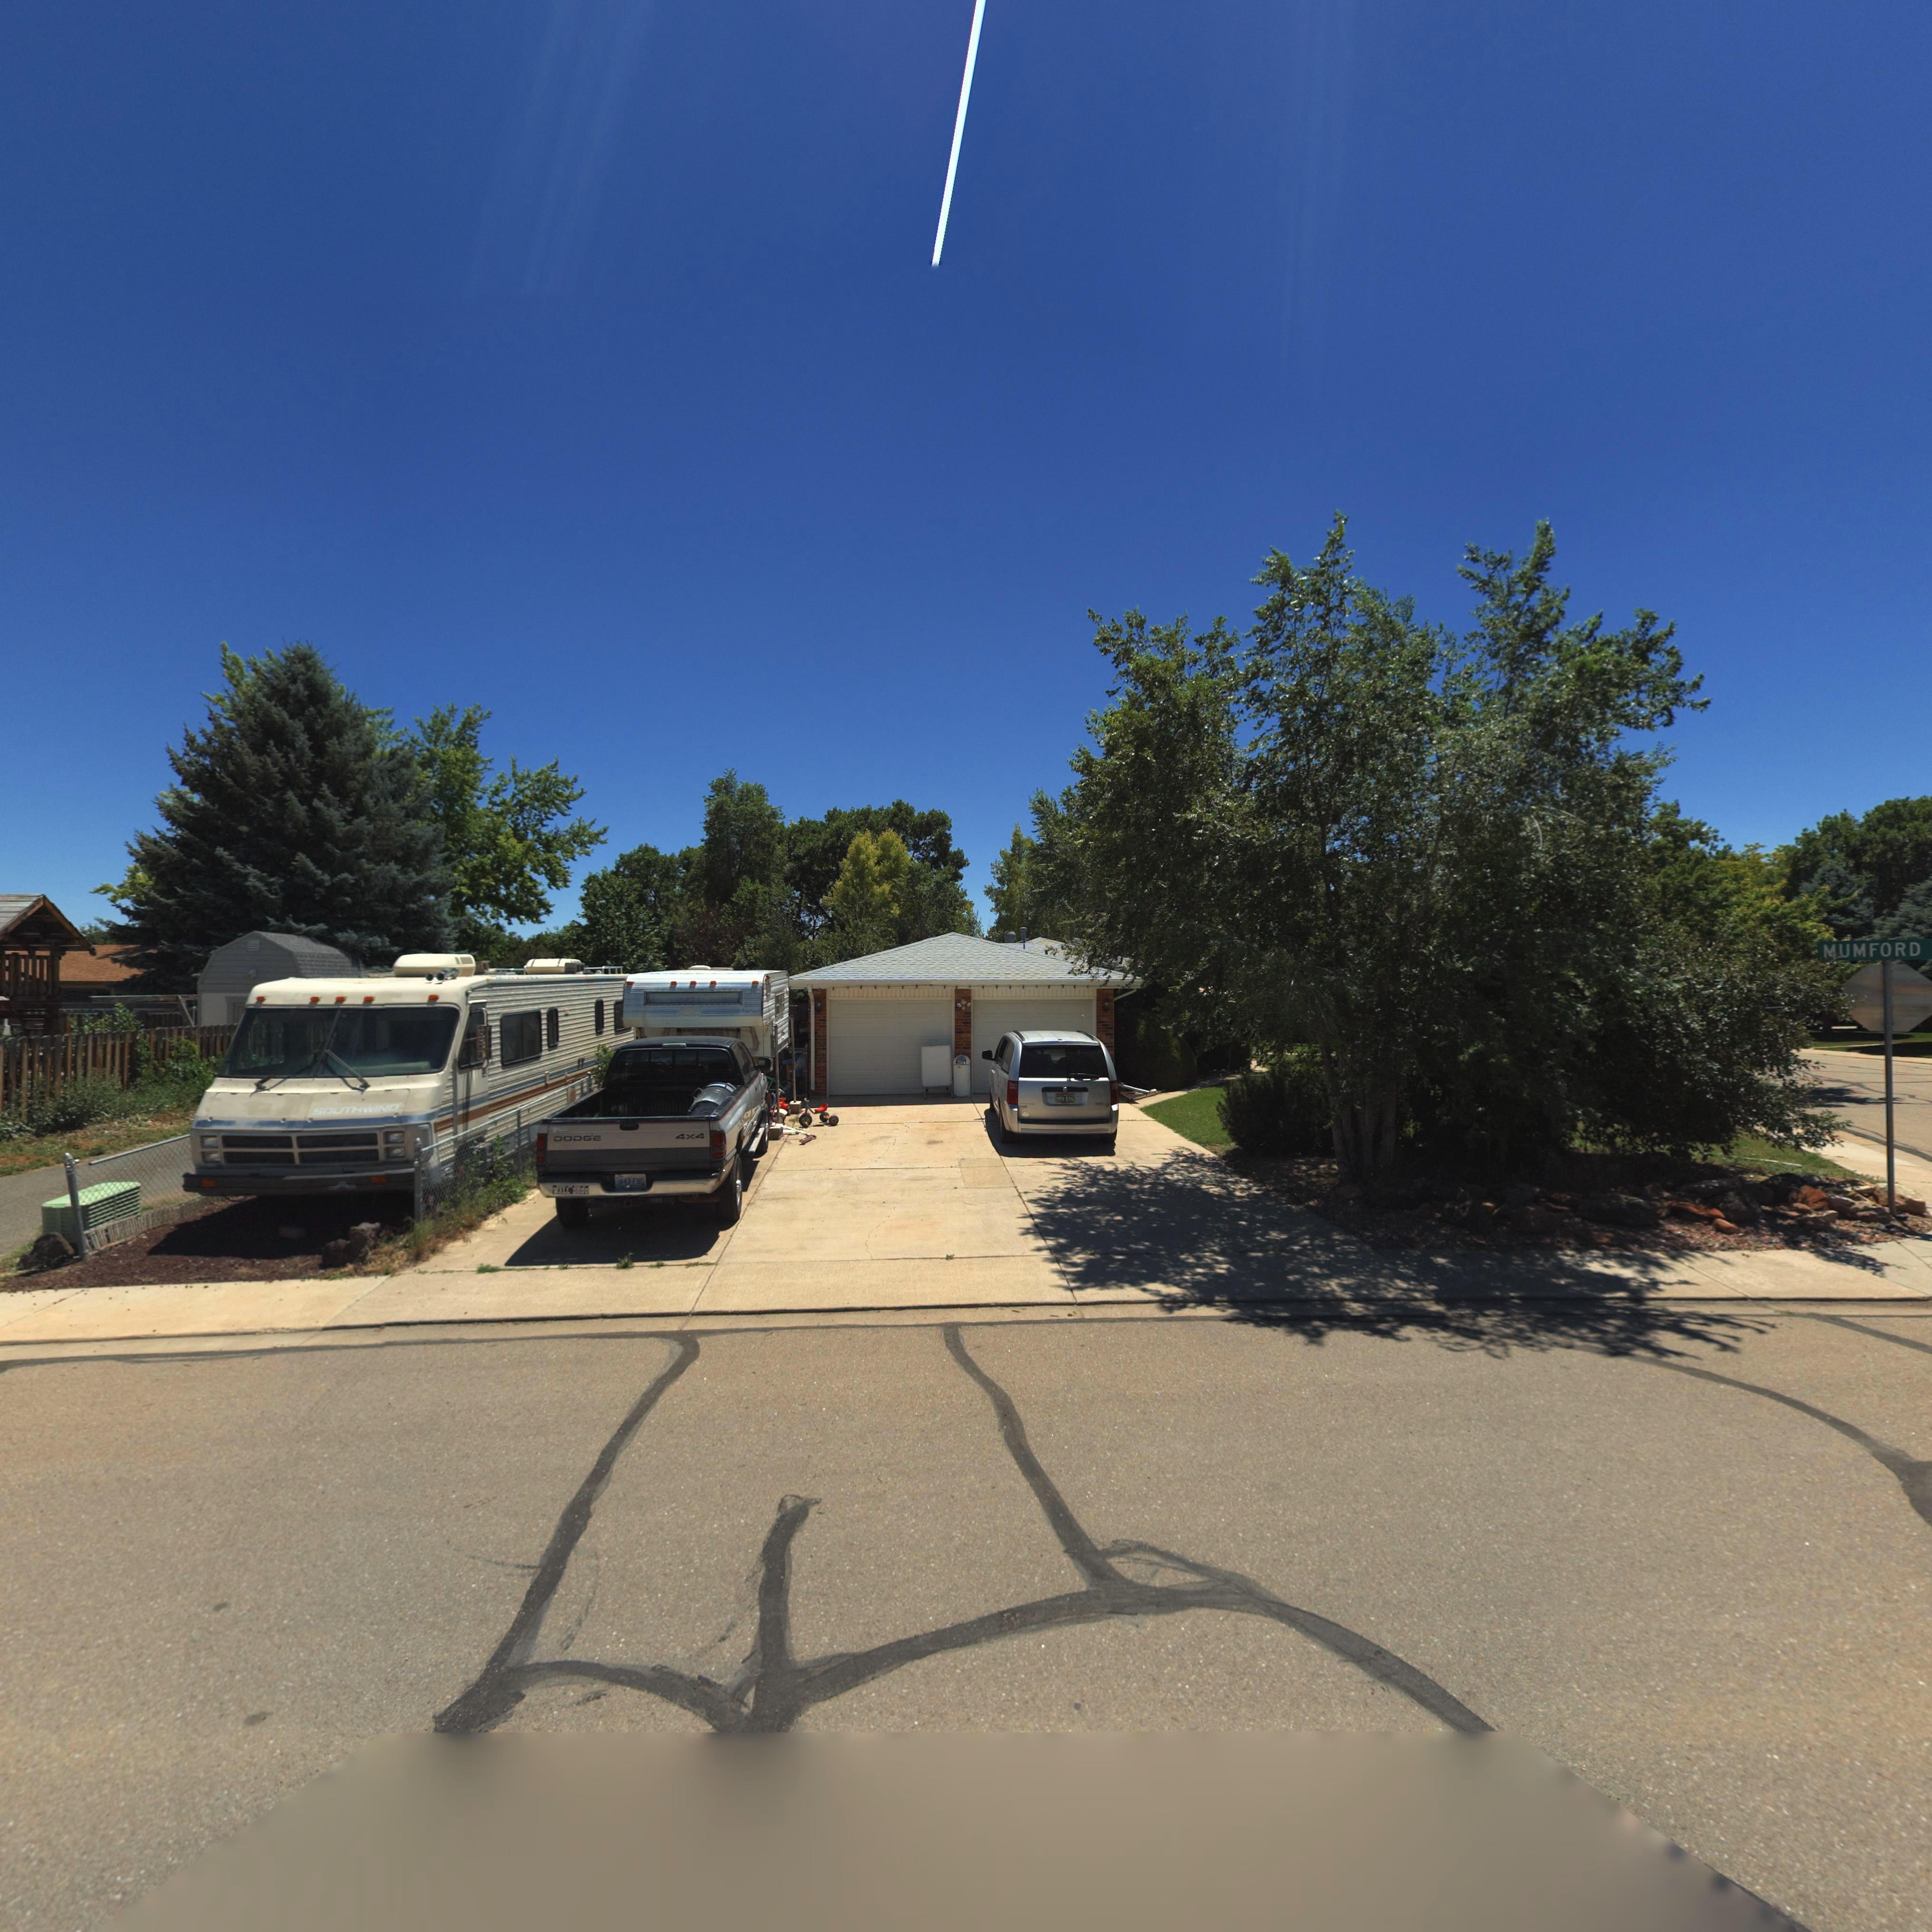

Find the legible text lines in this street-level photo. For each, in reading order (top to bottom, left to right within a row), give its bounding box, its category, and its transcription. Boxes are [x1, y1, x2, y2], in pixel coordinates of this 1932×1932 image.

[1823, 941, 1921, 958] StreetName: MUMFORD